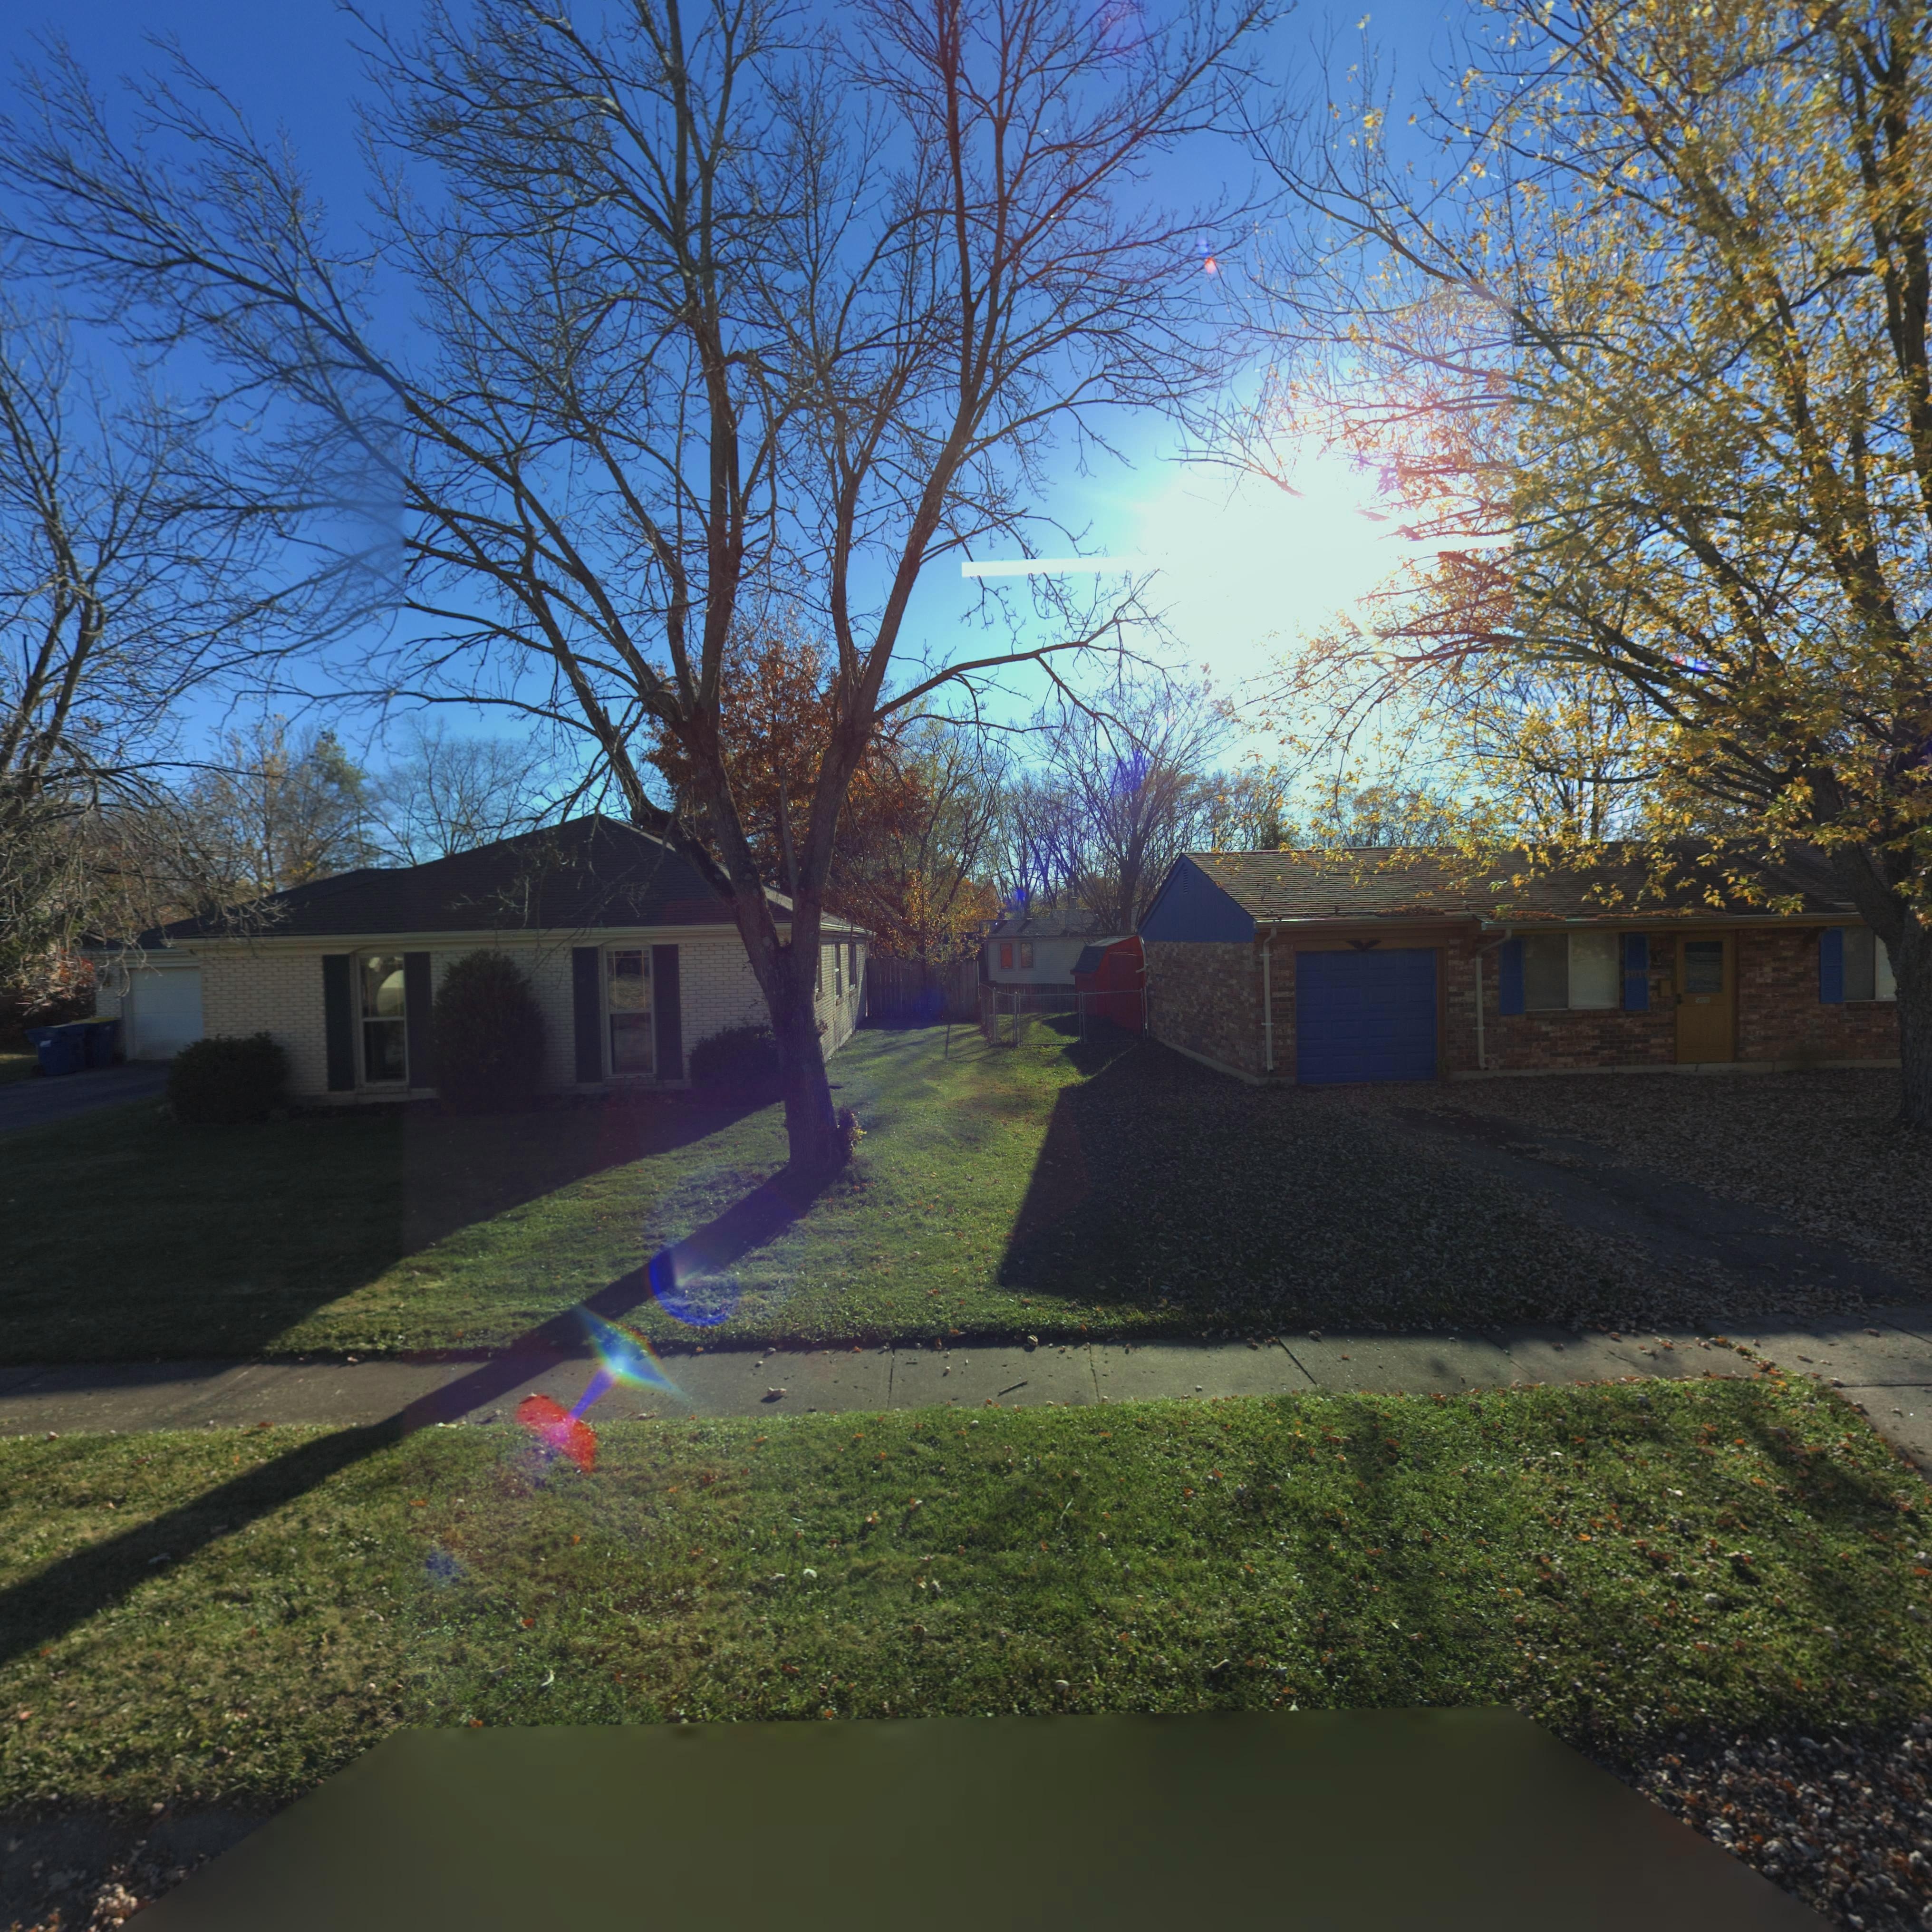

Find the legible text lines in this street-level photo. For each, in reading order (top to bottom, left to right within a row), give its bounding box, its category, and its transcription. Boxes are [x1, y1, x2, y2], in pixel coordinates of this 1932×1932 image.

[1624, 969, 1650, 979] StreetNumber: 5018